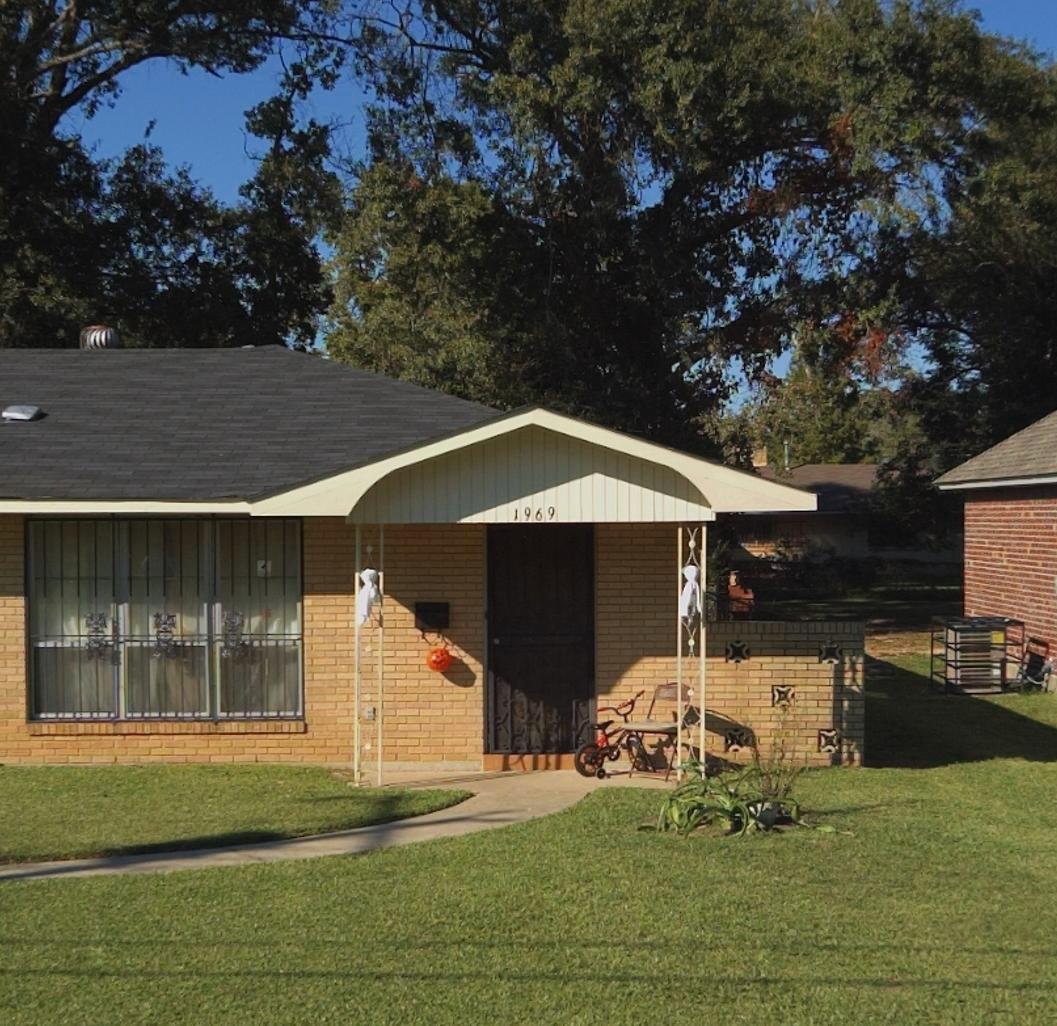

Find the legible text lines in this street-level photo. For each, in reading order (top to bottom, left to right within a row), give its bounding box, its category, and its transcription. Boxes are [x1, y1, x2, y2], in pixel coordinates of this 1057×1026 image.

[513, 505, 556, 523] StreetNumber: 1969